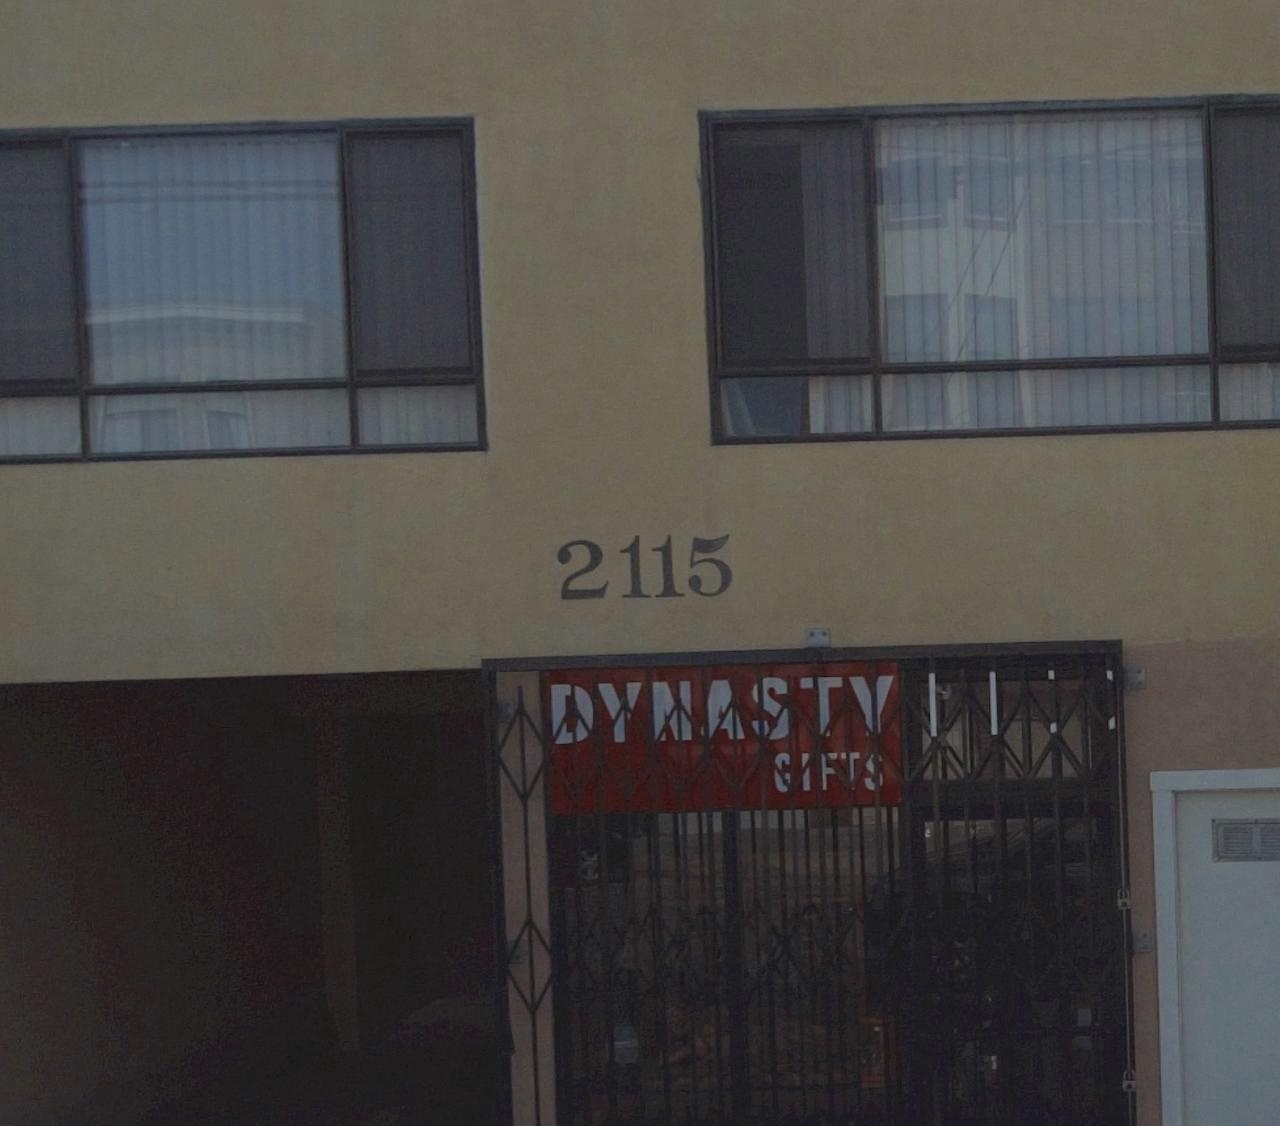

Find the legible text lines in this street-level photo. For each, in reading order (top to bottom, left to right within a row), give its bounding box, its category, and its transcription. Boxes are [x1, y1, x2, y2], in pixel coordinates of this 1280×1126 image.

[556, 531, 736, 602] StreetNumber: 2115